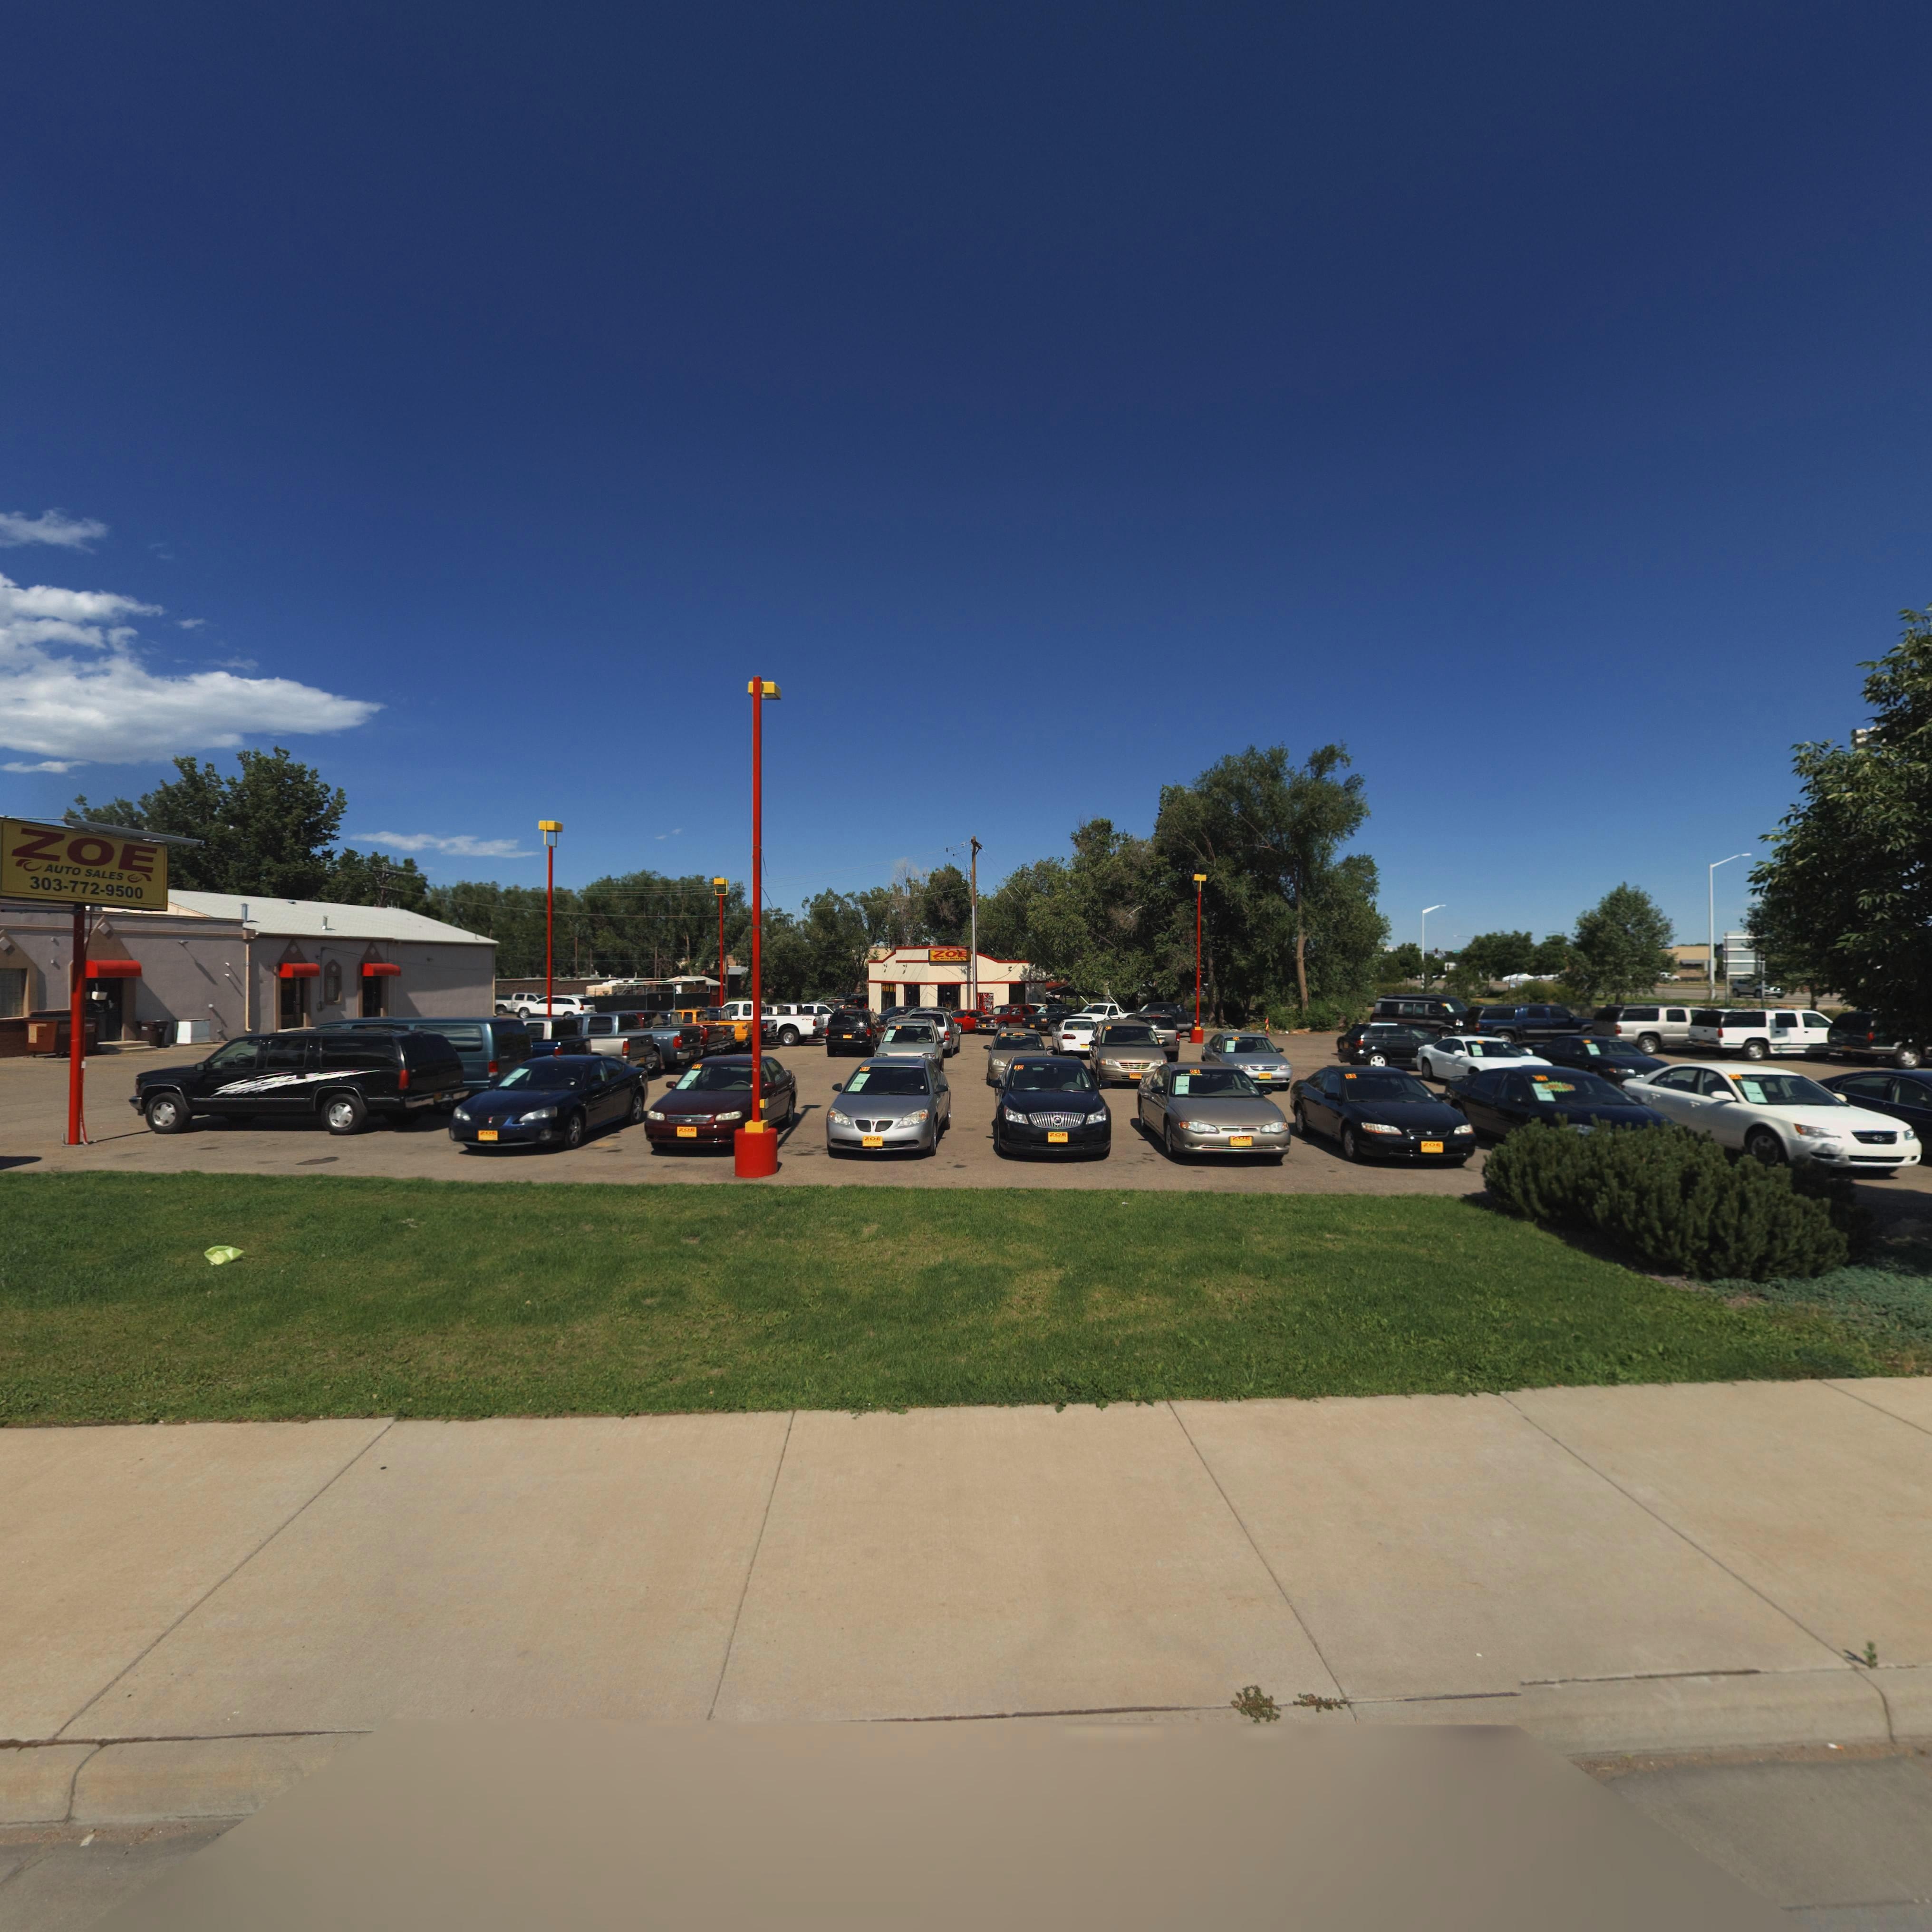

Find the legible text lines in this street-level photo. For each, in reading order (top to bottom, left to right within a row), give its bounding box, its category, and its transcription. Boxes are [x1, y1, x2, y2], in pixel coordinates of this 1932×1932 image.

[11, 826, 158, 874] BusinessName: ZOE
[43, 863, 124, 881] BusinessName: AUTO SALES
[933, 951, 968, 957] BusinessName: ZOE